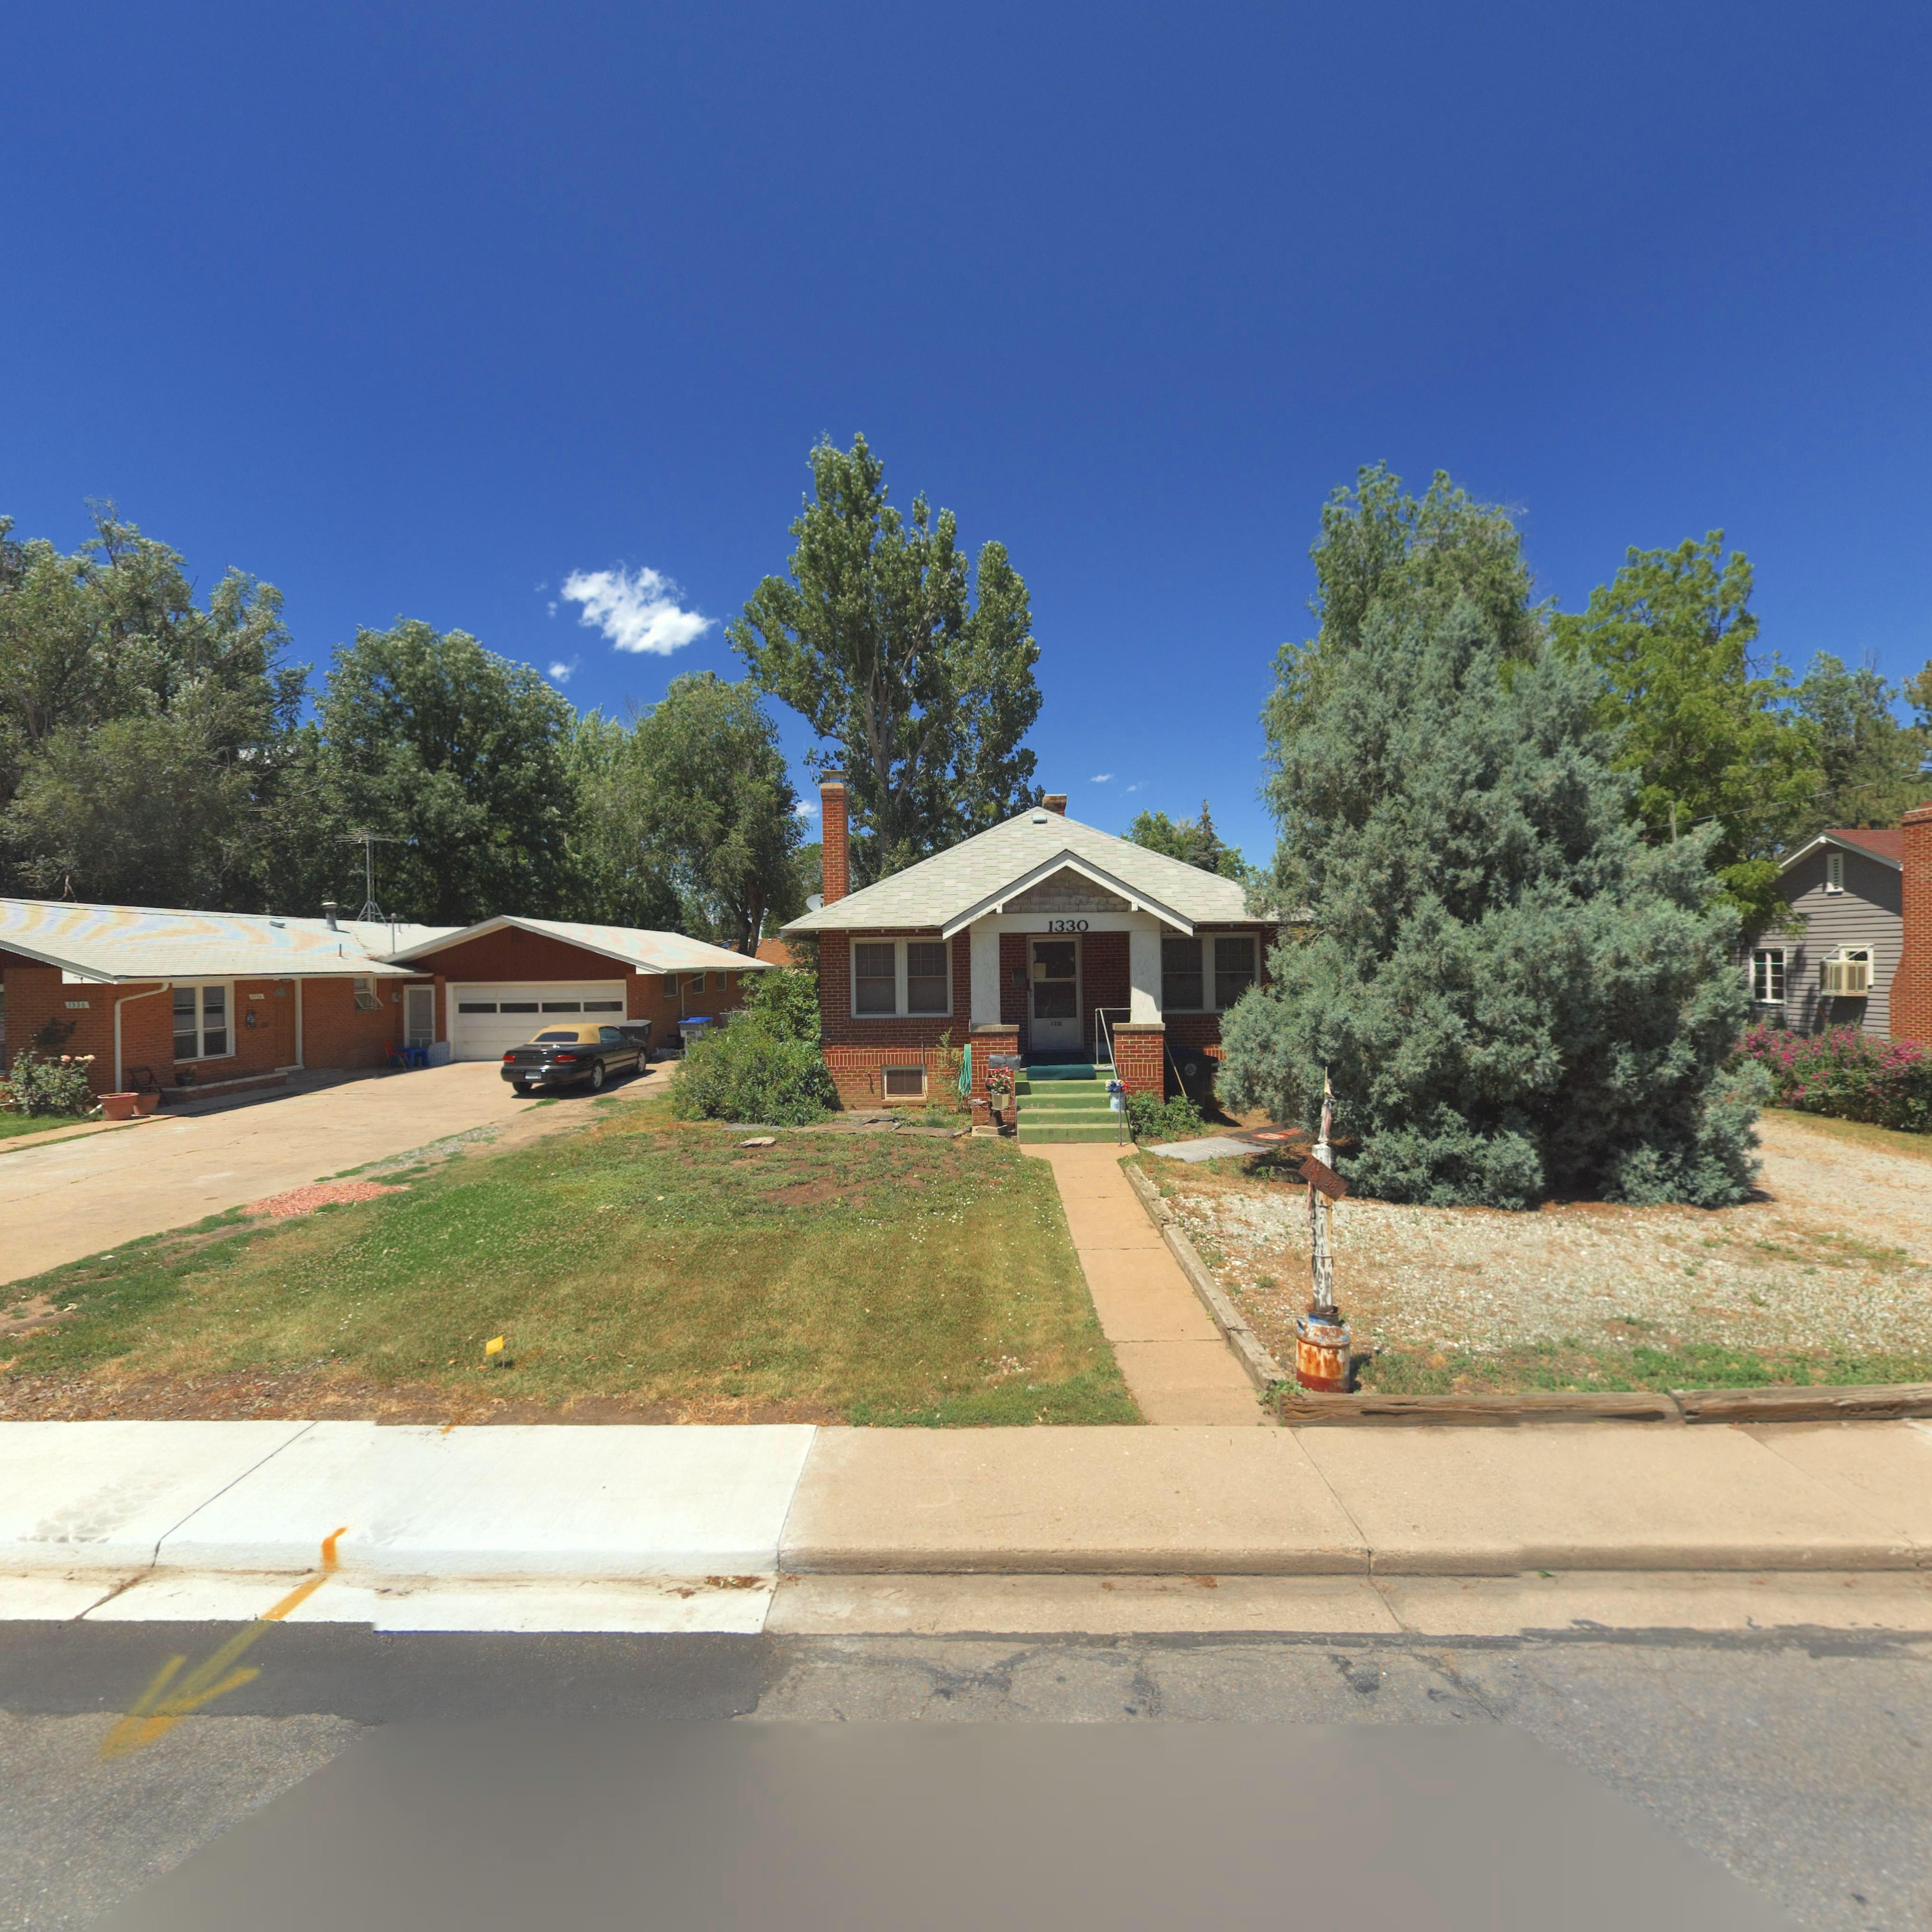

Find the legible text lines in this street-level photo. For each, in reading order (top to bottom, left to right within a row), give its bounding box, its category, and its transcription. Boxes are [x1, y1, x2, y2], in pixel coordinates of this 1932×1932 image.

[1048, 919, 1088, 932] StreetNumber: 1330
[68, 1001, 85, 1008] StreetNumber: 1336
[1051, 1021, 1062, 1026] StreetNumber: 1330